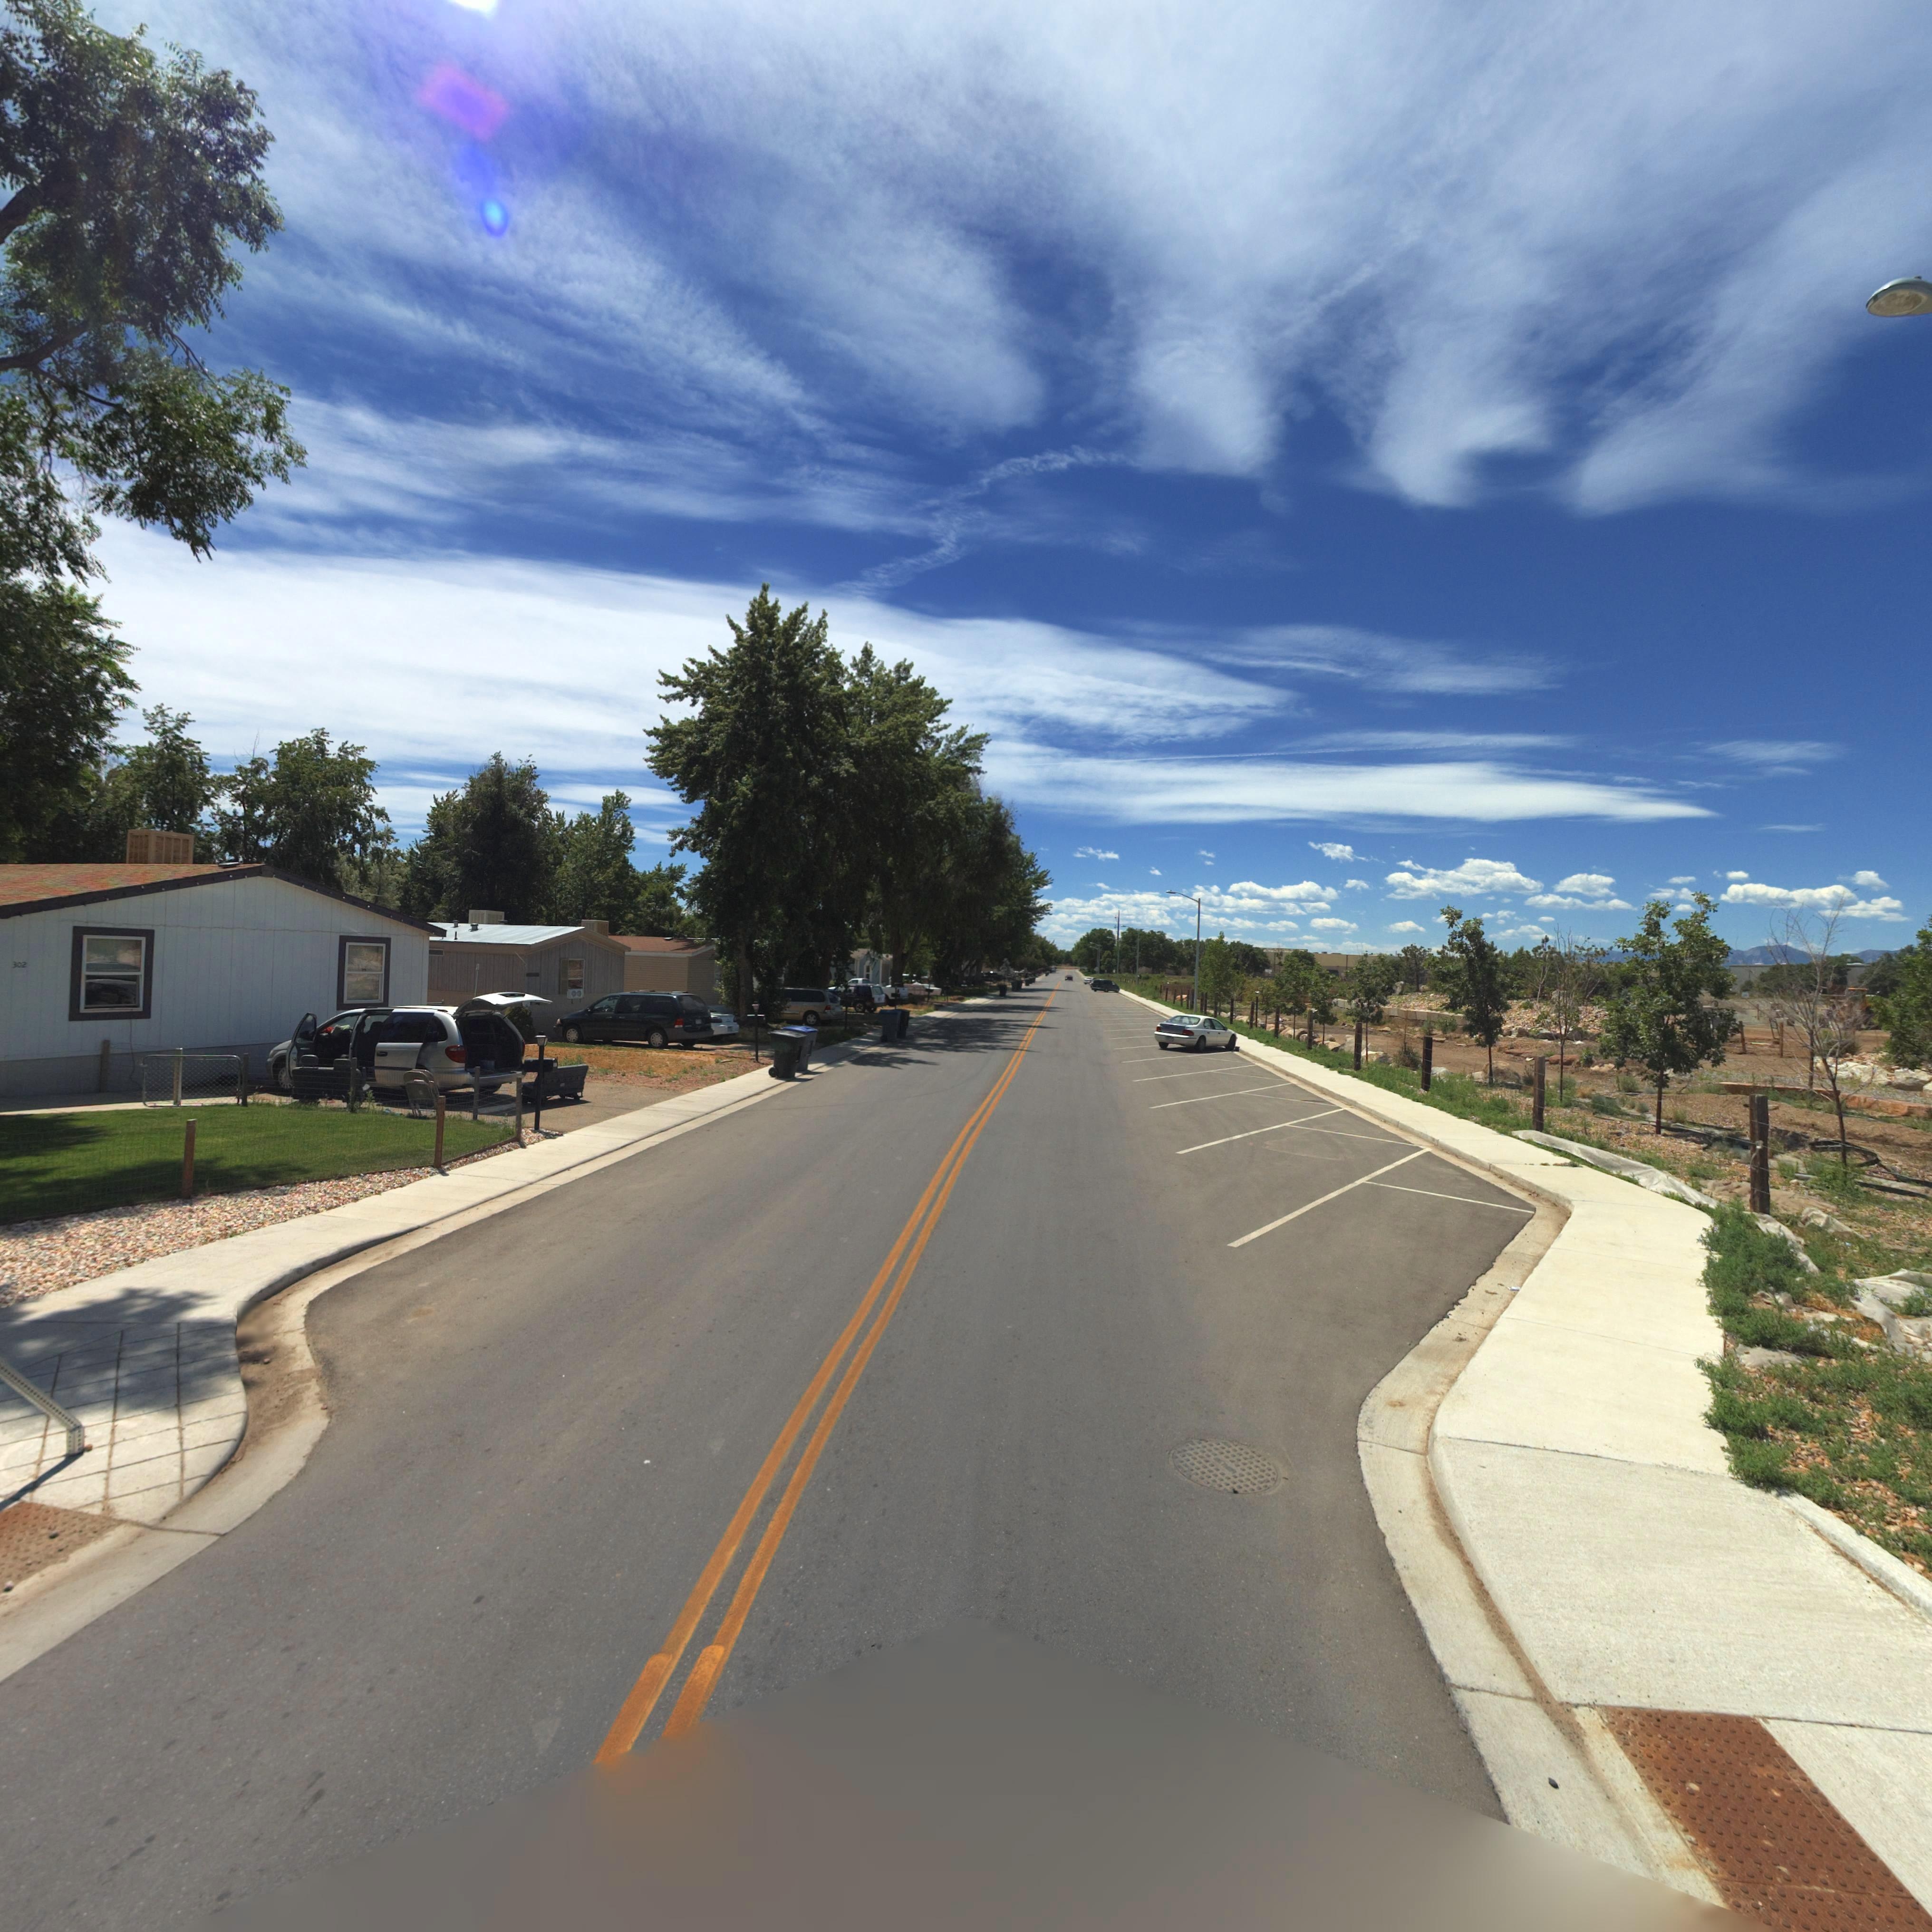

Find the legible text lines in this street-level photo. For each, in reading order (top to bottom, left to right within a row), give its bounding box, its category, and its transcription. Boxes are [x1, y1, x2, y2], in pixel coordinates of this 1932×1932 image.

[11, 960, 27, 968] StreetNumber: 302